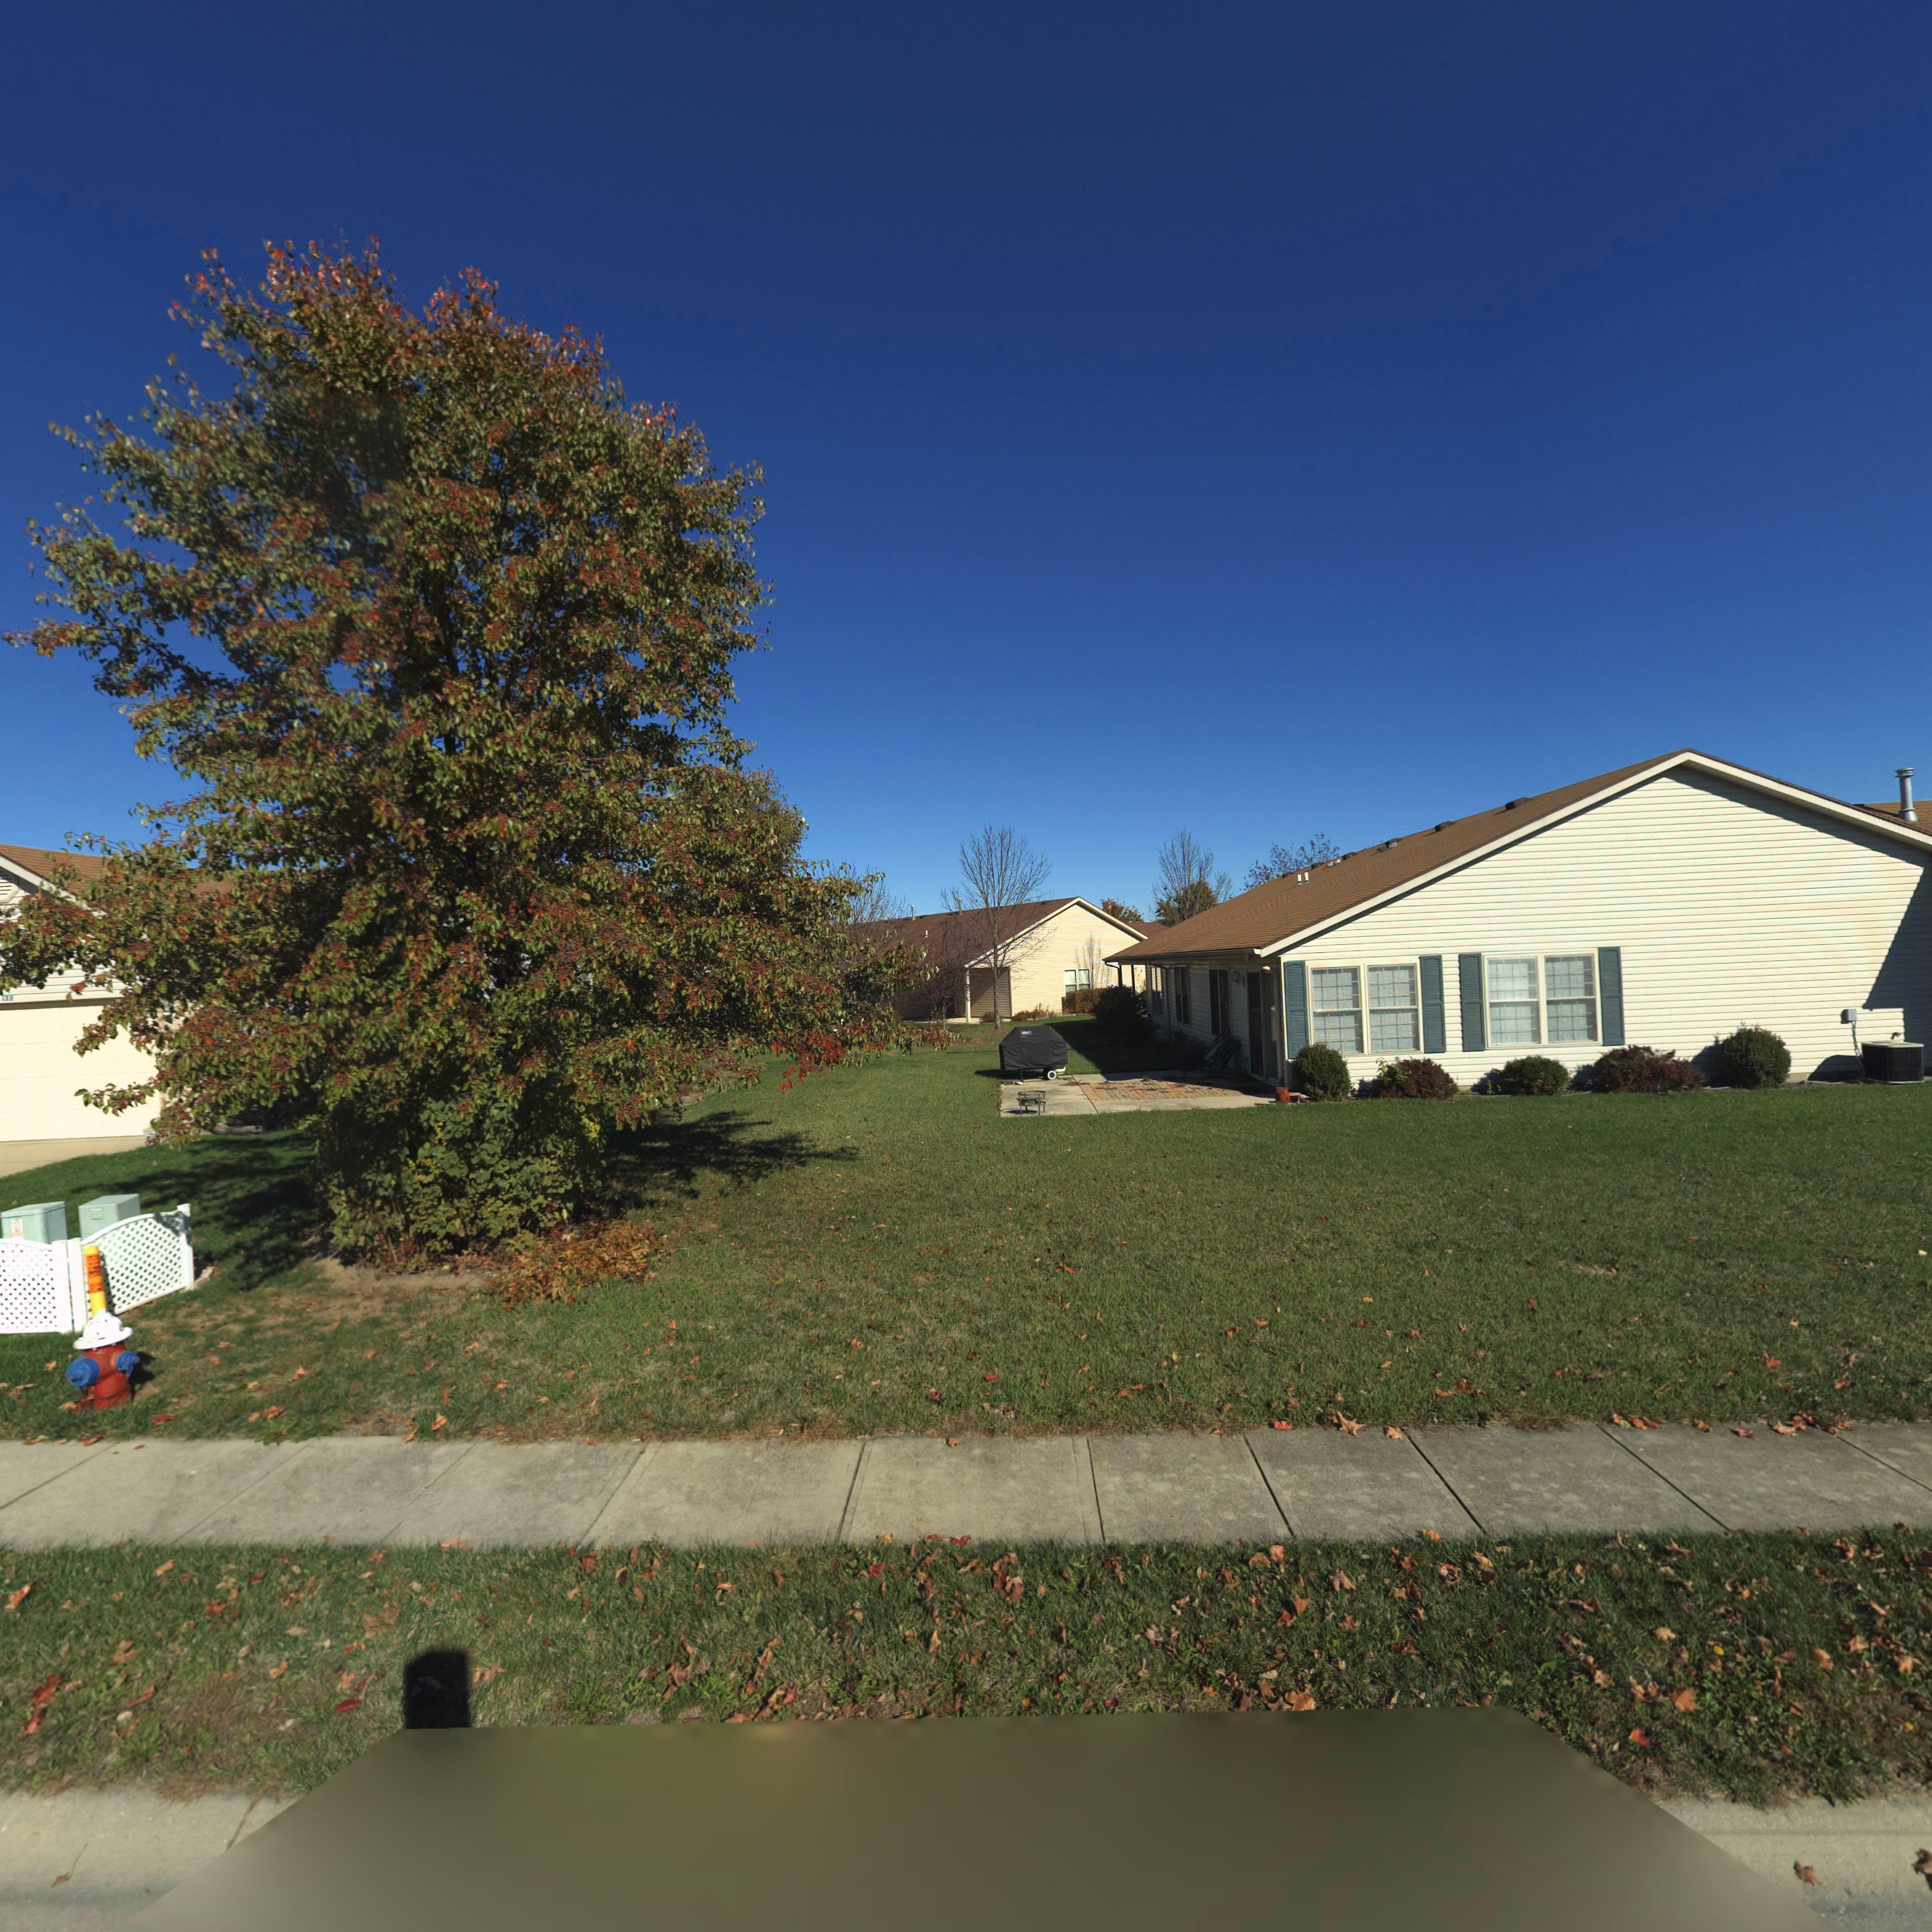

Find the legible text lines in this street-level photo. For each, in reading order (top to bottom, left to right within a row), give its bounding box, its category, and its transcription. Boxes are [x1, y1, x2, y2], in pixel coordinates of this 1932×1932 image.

[1, 995, 14, 1002] StreetNumber: *35